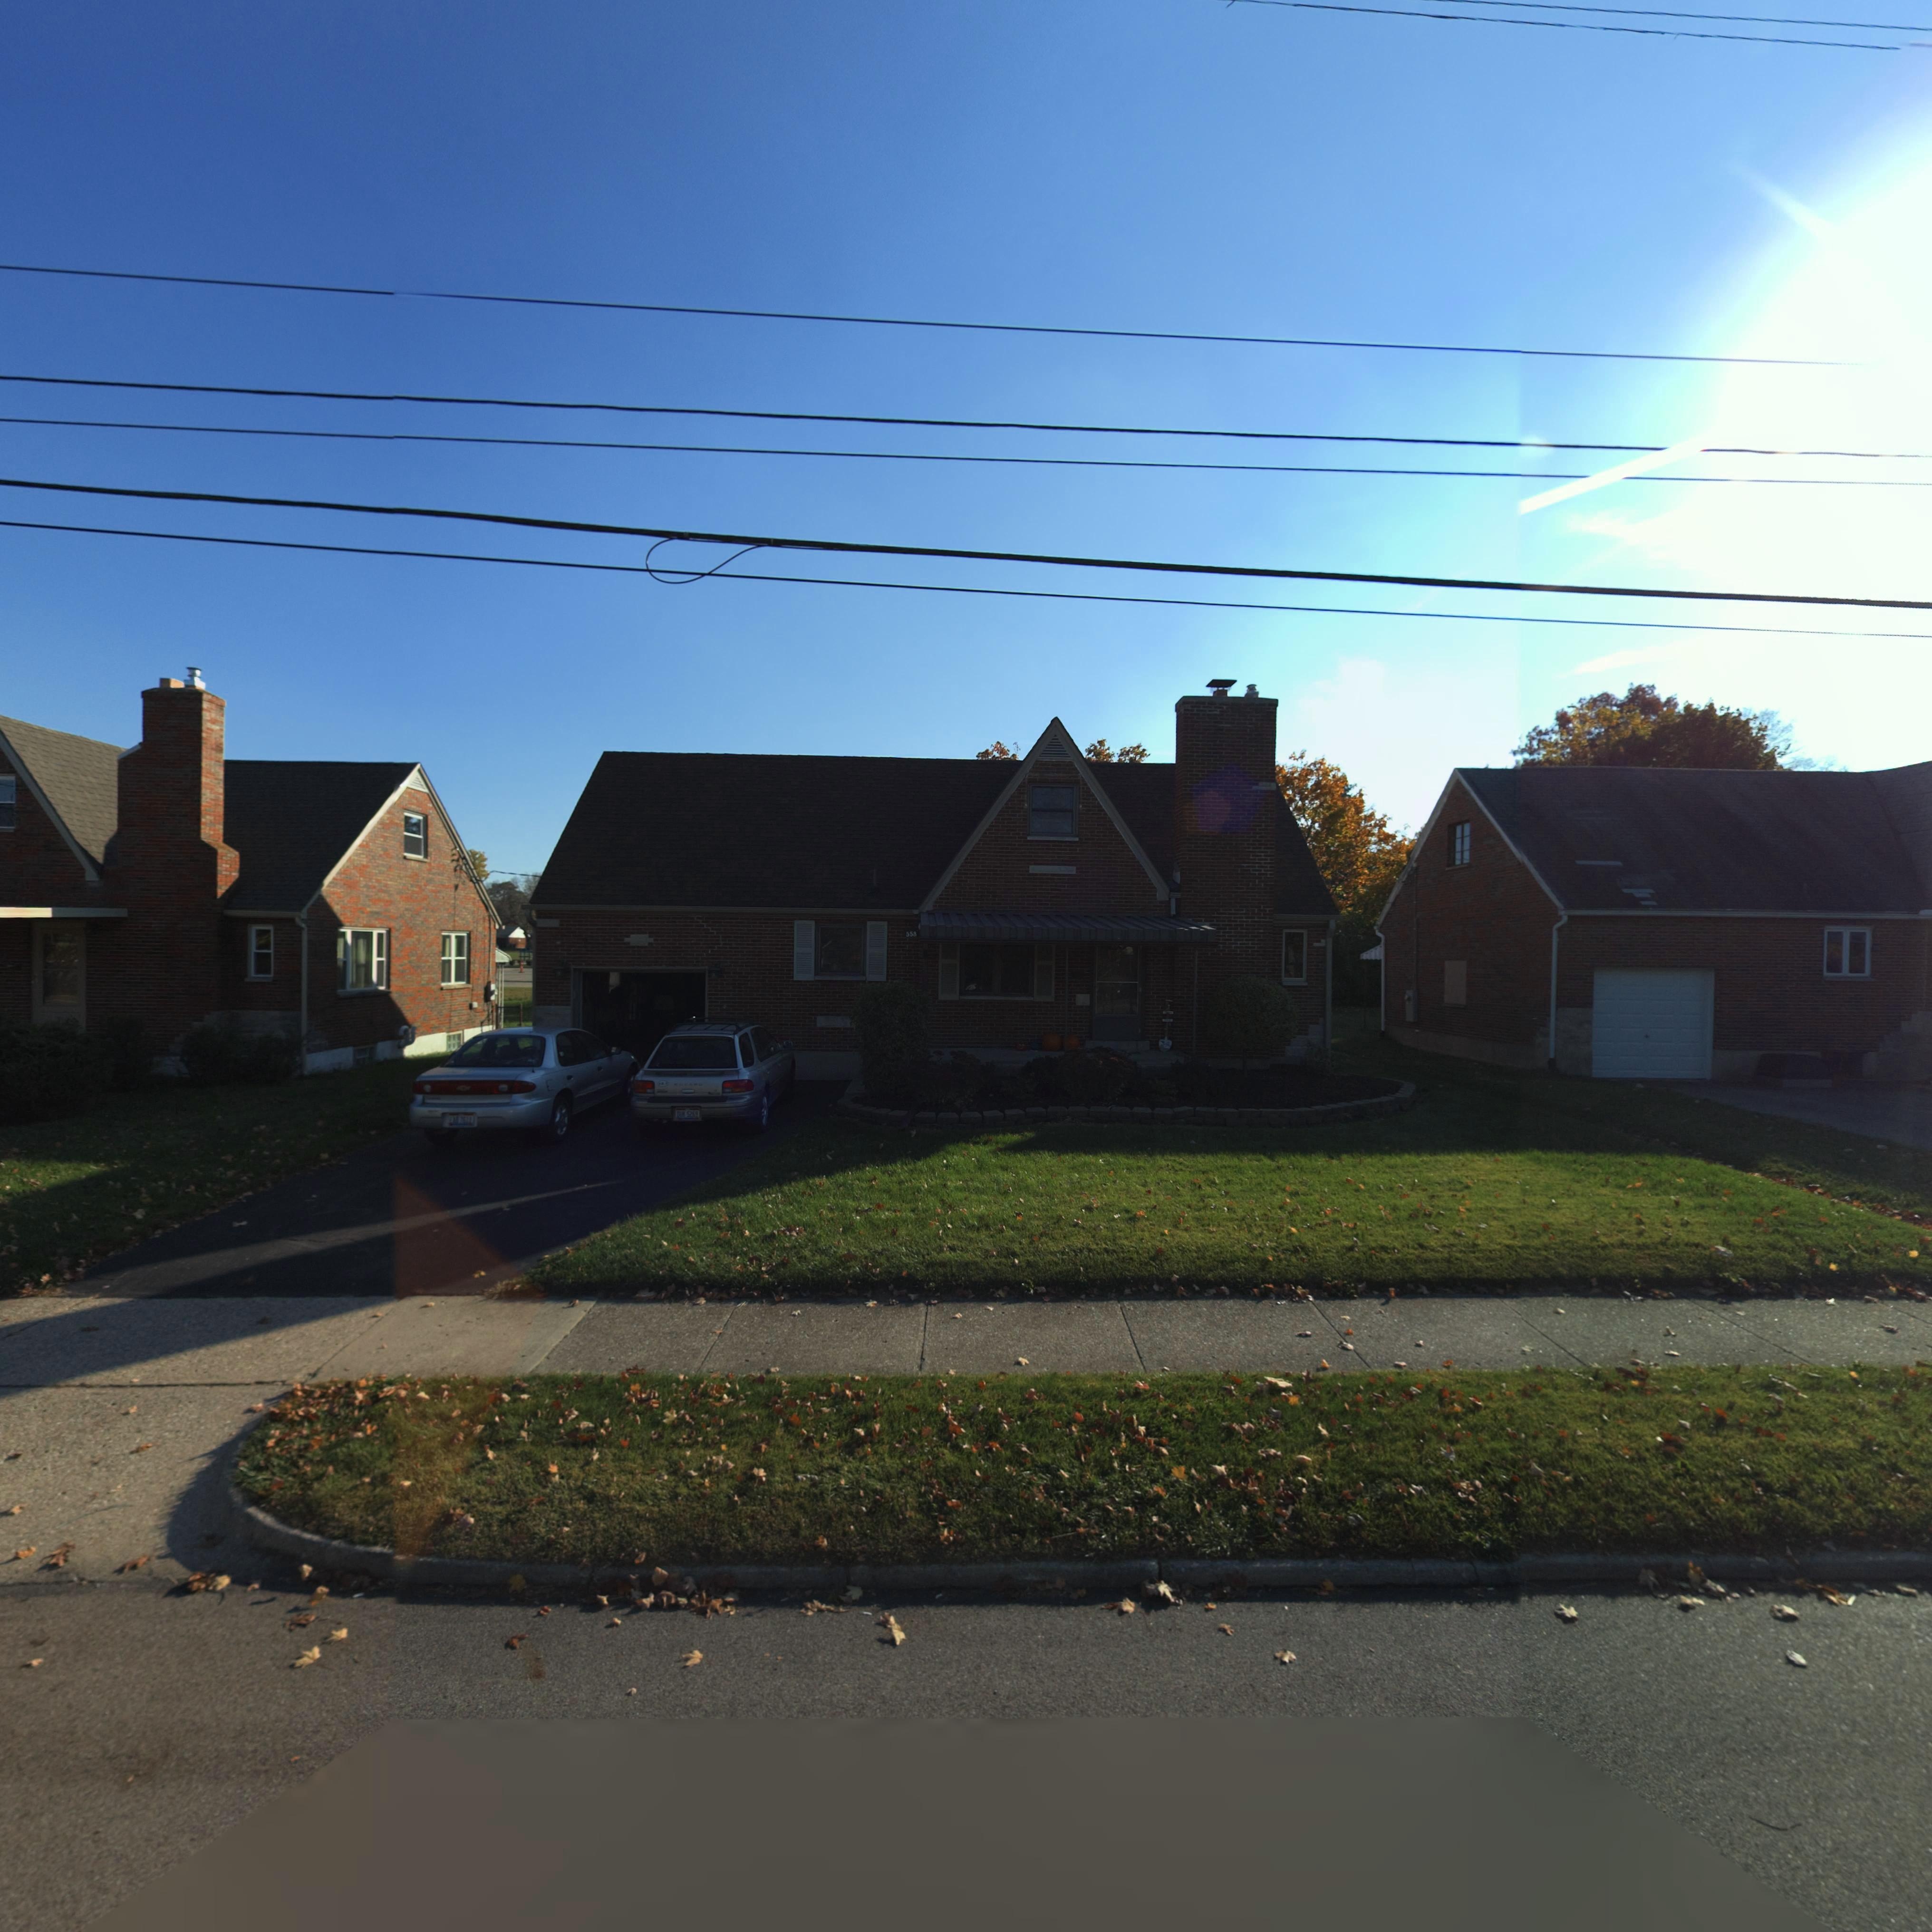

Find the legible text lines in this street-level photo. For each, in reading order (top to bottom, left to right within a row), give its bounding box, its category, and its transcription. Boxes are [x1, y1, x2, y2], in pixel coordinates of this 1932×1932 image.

[905, 931, 917, 937] StreetNumber: 55*